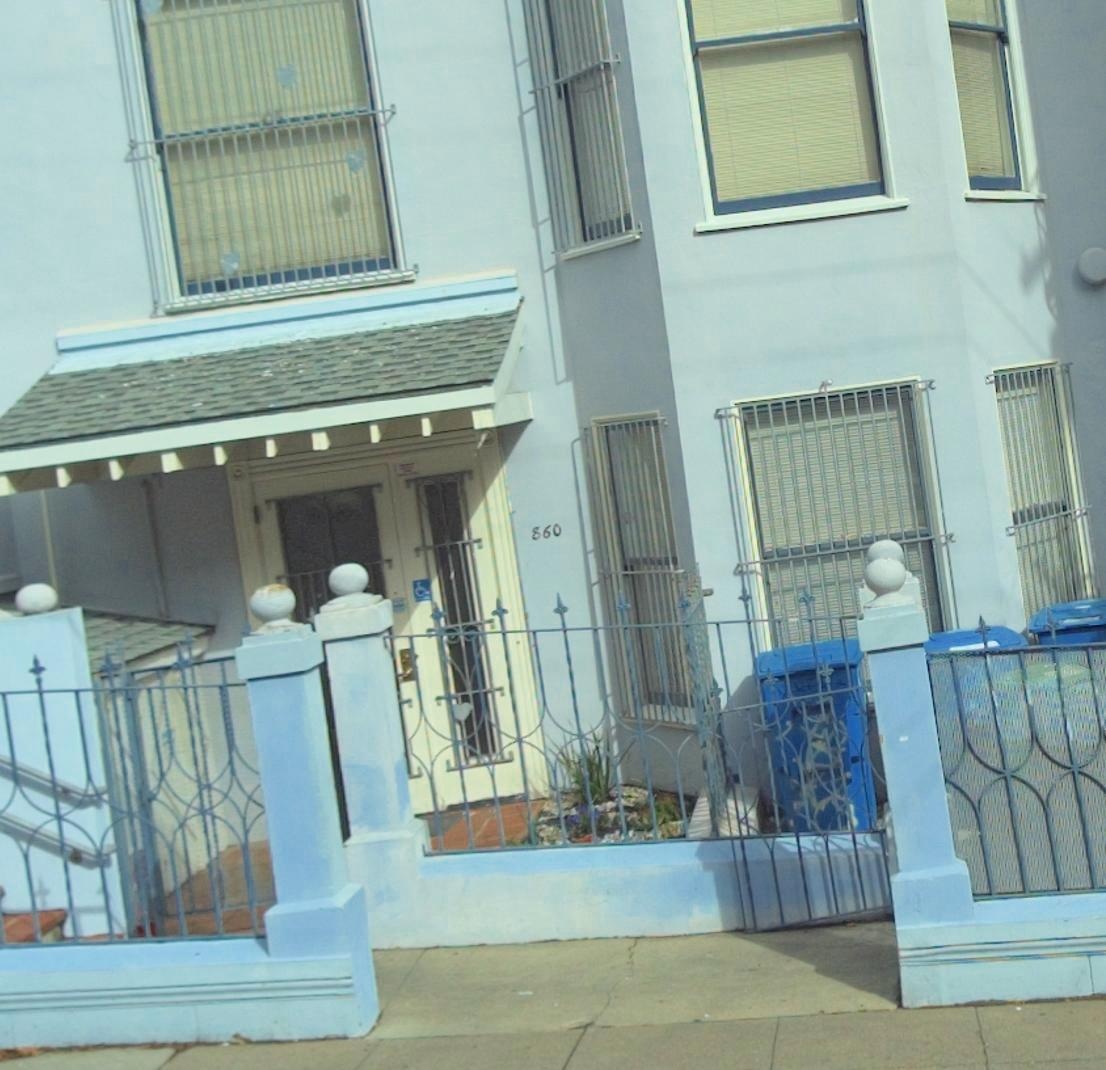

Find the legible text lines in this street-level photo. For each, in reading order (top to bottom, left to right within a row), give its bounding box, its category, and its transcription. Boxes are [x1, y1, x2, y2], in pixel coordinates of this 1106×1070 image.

[529, 520, 564, 543] StreetNumber: 860